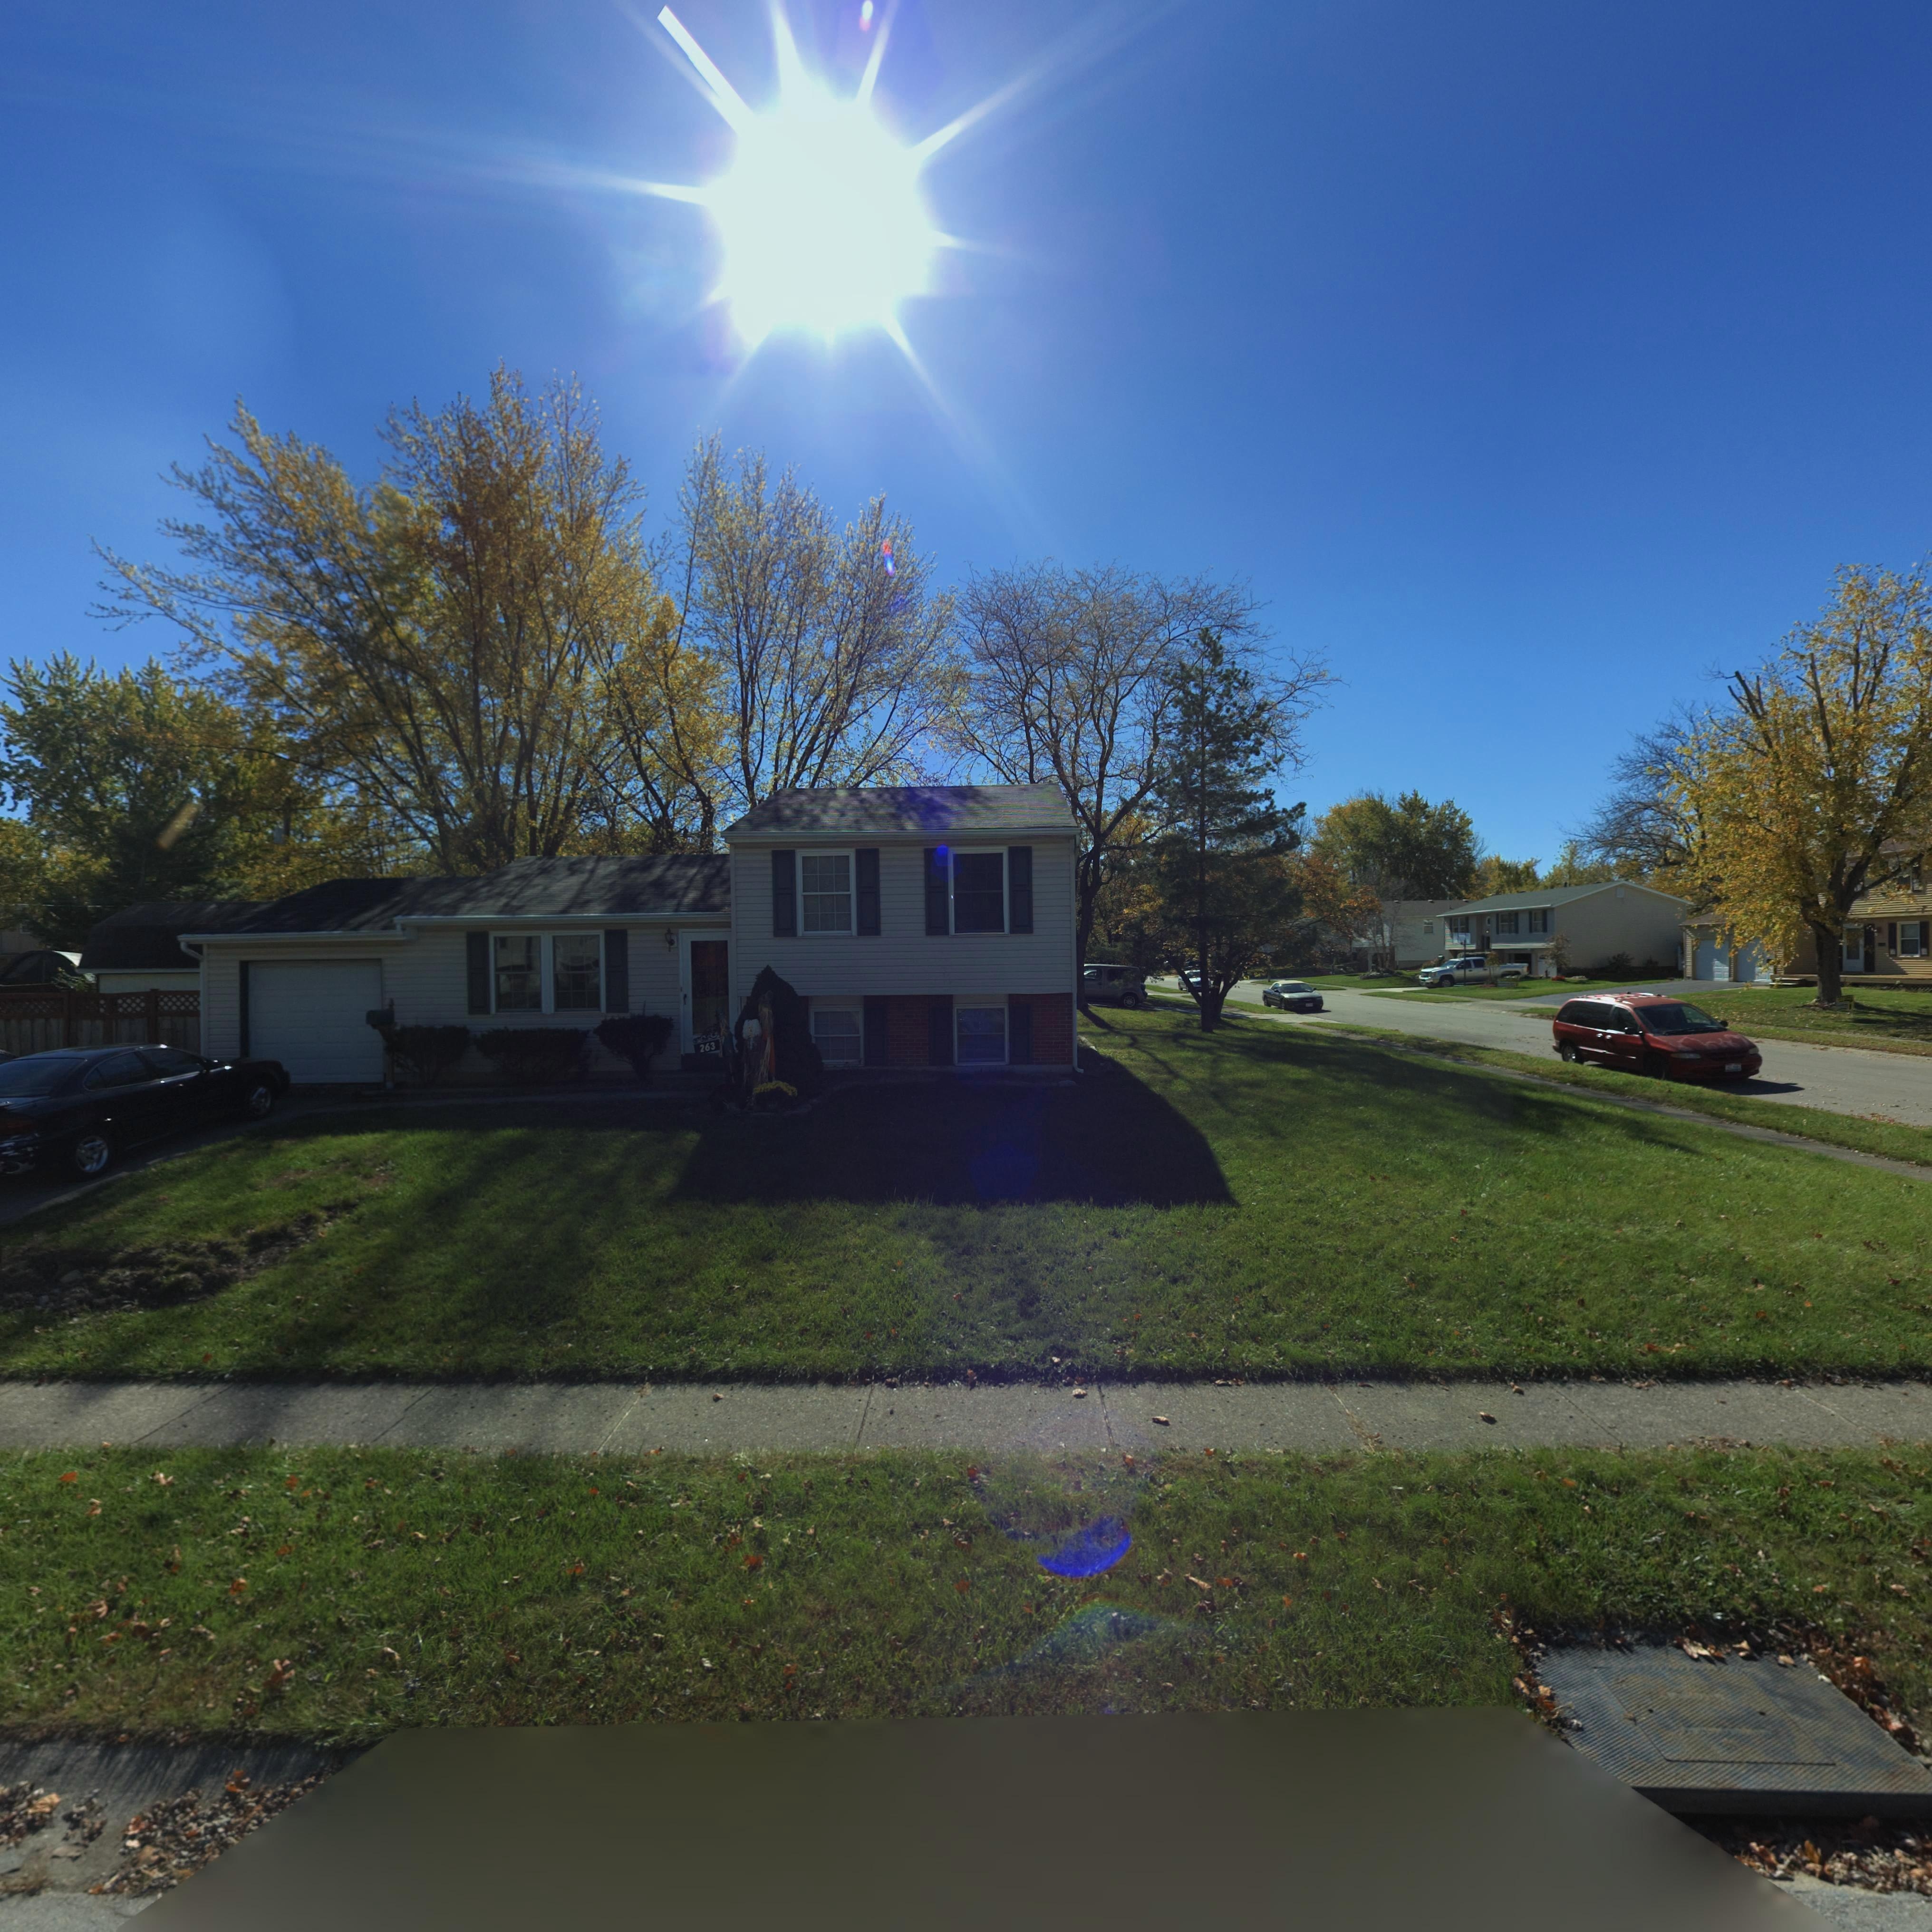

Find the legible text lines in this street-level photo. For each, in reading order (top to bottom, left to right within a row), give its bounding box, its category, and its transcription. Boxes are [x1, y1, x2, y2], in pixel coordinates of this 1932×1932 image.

[699, 1041, 716, 1053] StreetNumber: 263